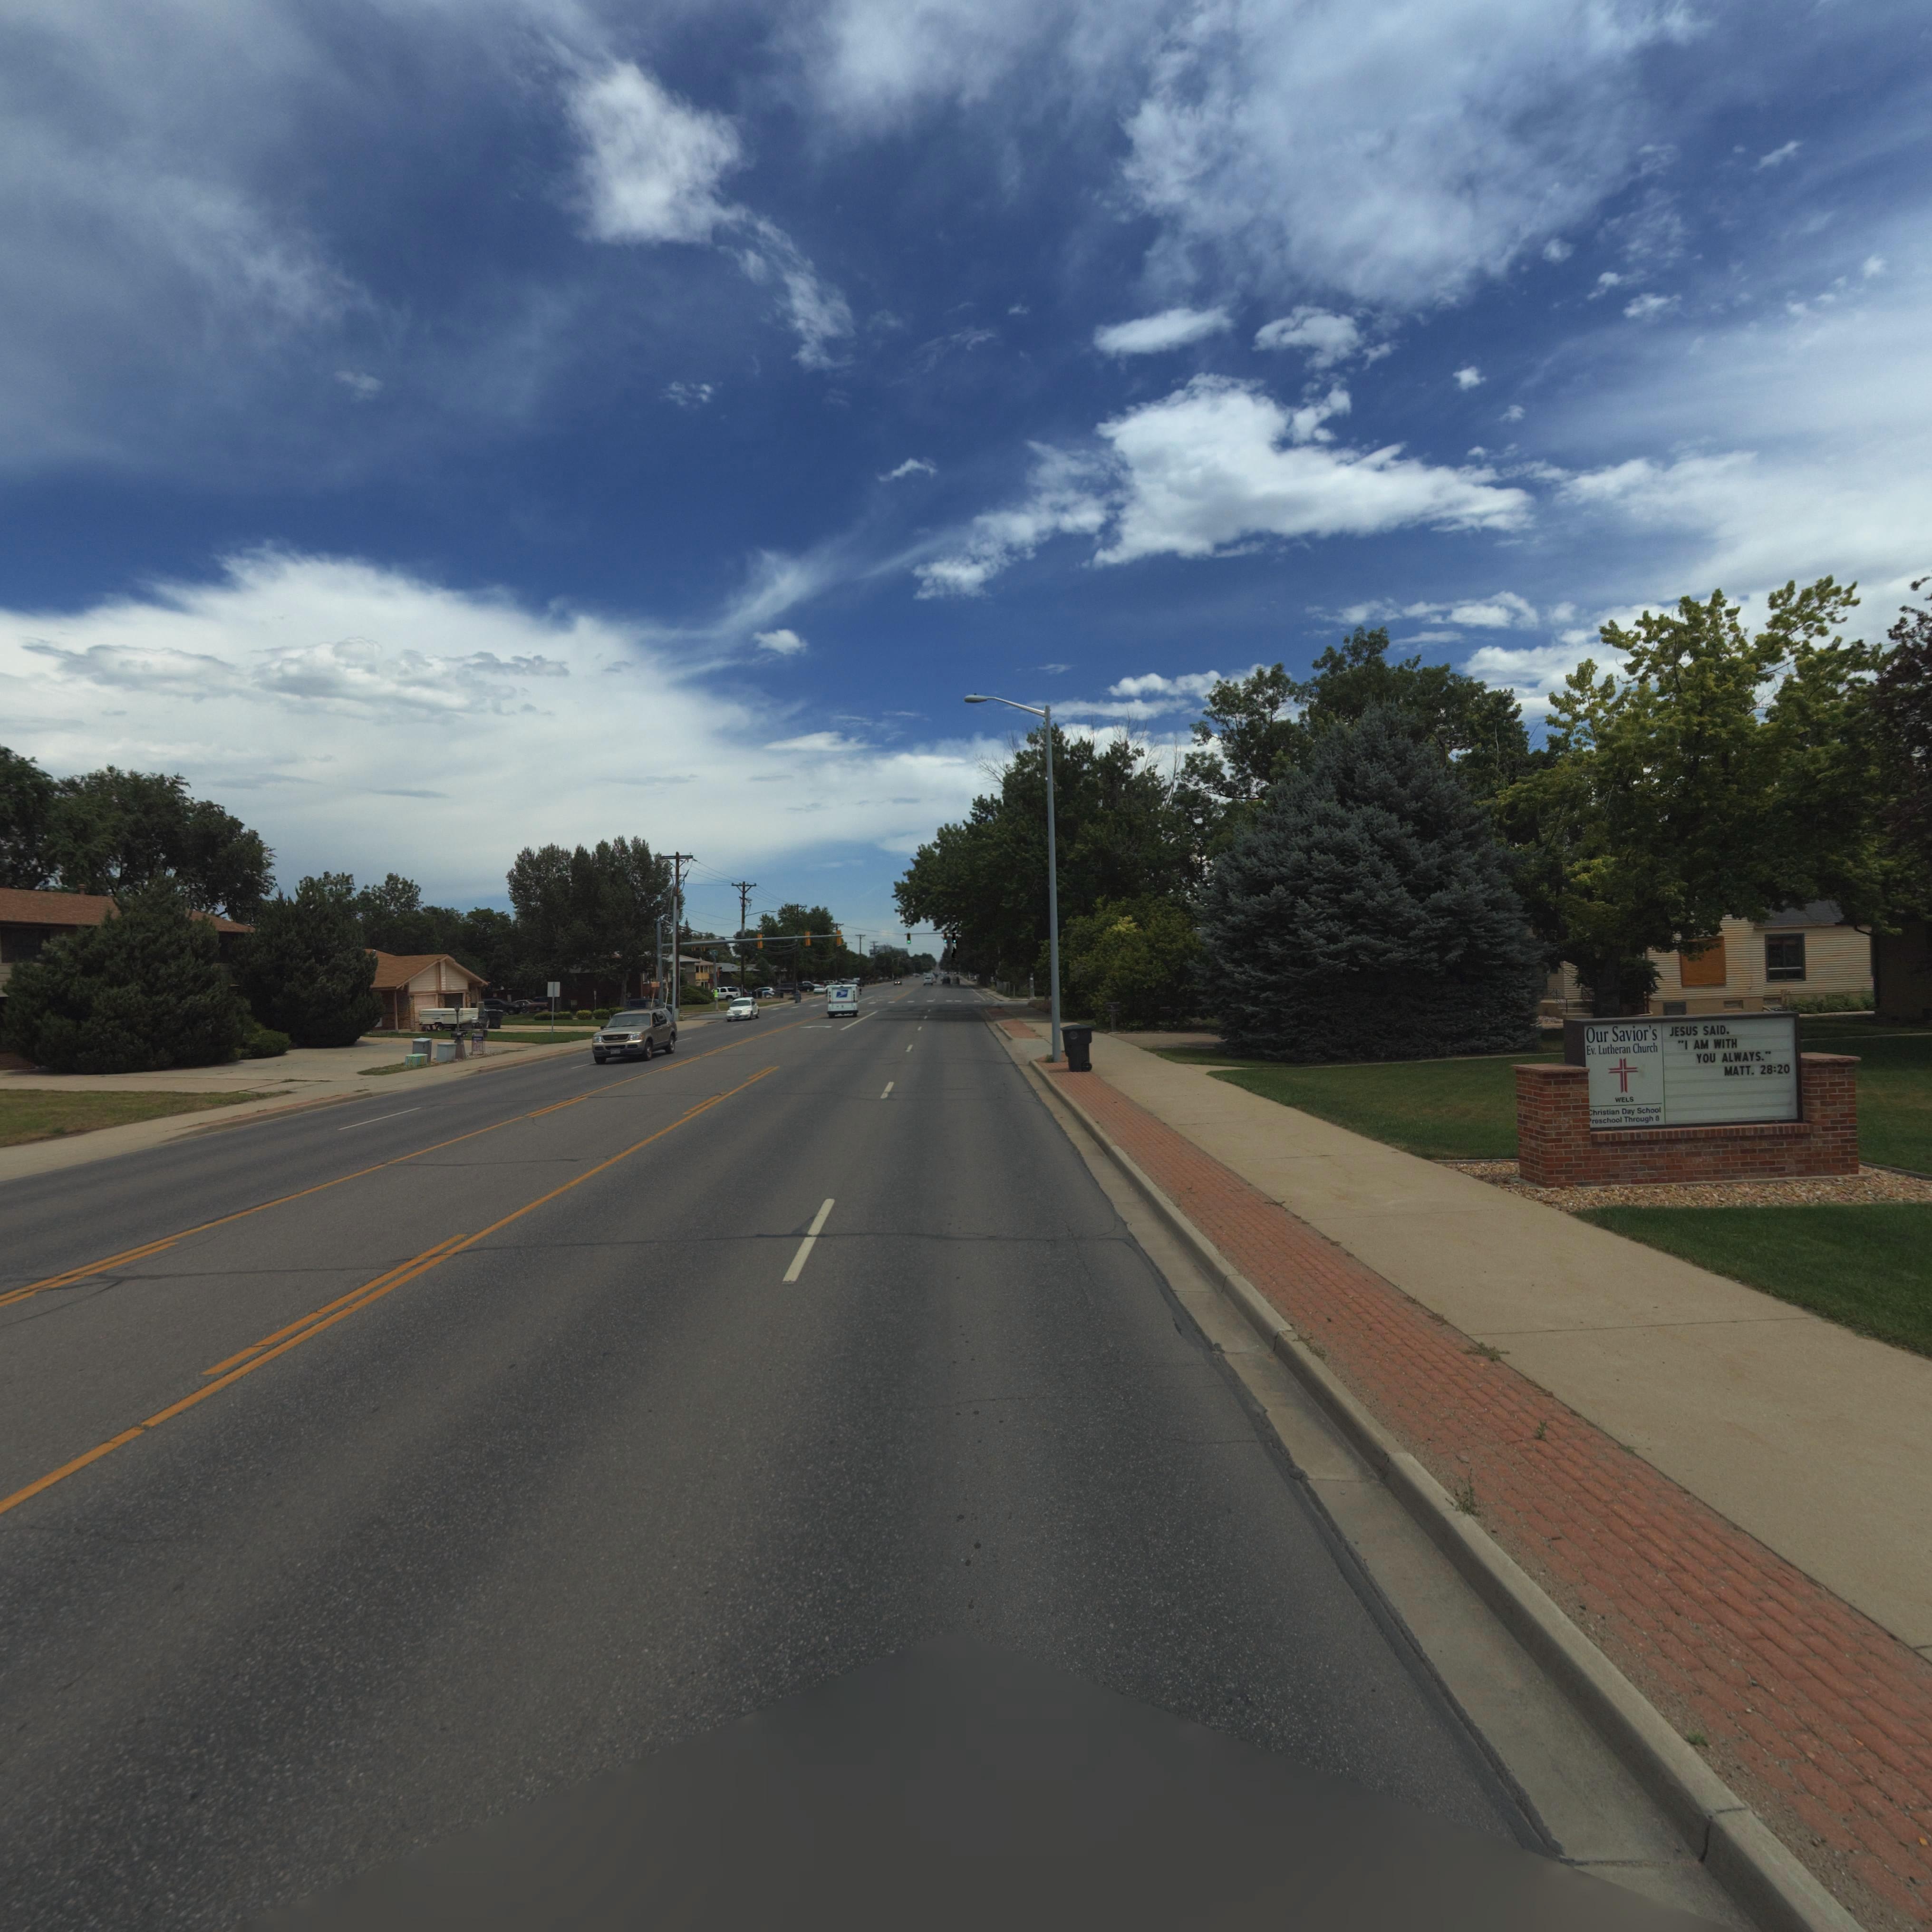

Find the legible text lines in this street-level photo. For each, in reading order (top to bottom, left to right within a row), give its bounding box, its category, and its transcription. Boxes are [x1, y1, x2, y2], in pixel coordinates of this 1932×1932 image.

[1584, 1024, 1658, 1043] BusinessName: Our Savior's
[1585, 1042, 1658, 1055] BusinessName: Ev. Lutheran Church